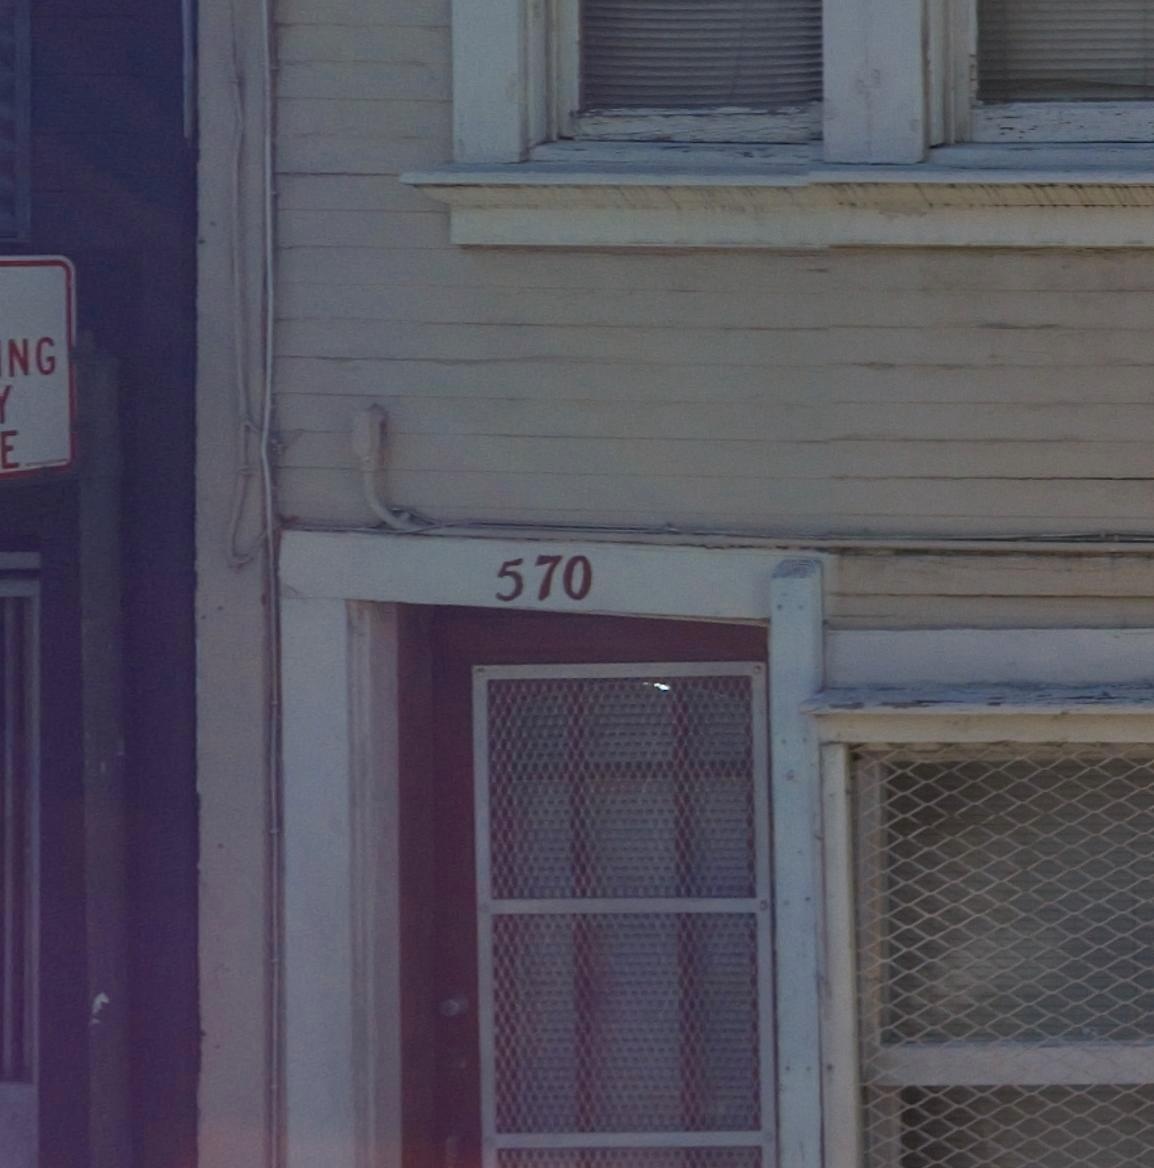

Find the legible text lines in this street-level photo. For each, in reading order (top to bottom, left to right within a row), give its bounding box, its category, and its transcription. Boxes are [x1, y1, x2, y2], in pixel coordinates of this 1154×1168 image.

[5, 334, 58, 380] None: NG
[490, 549, 598, 603] StreetNumber: 570